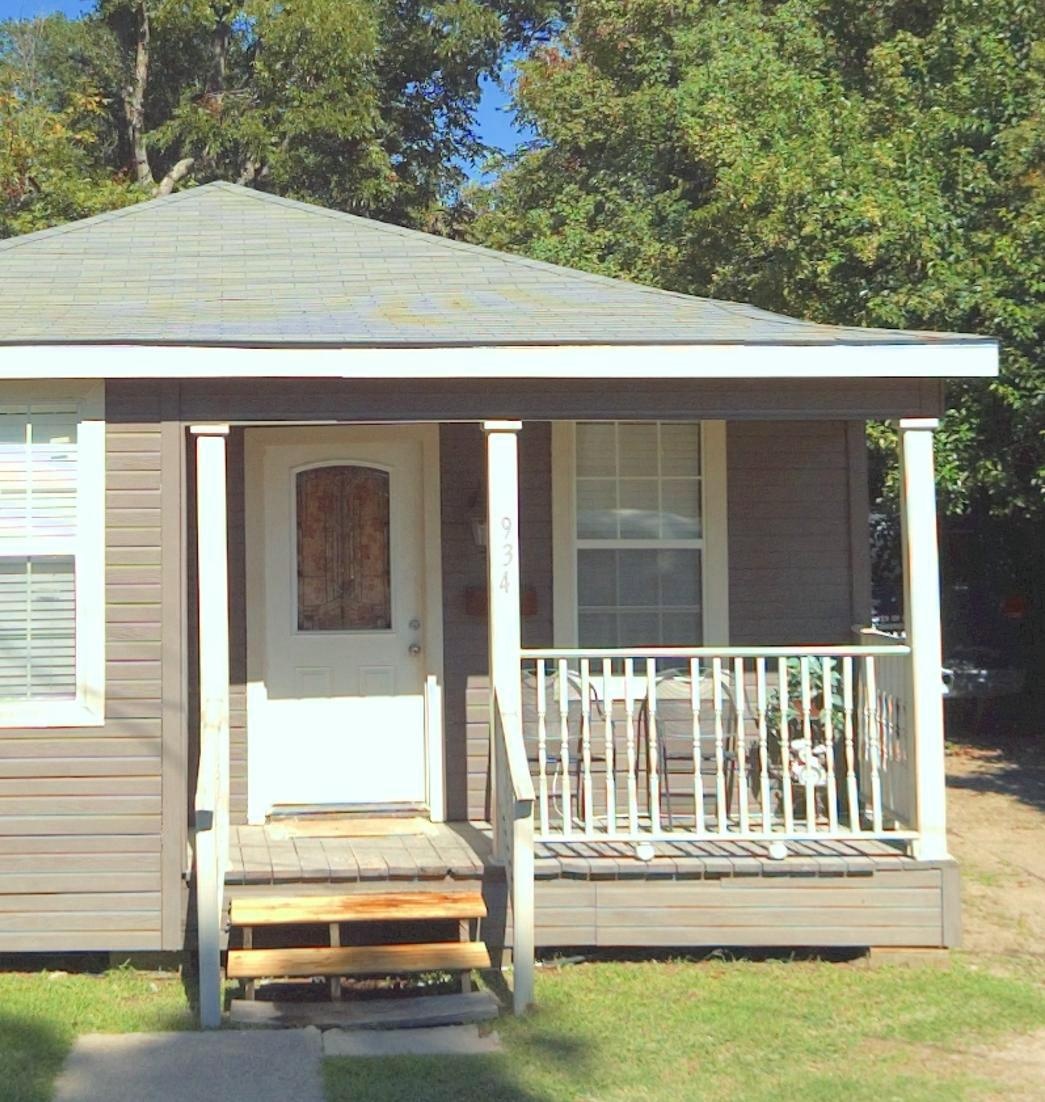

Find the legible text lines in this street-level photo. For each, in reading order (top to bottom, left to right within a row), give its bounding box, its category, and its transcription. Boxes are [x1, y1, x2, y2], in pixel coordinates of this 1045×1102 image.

[498, 516, 513, 594] StreetNumber: 934